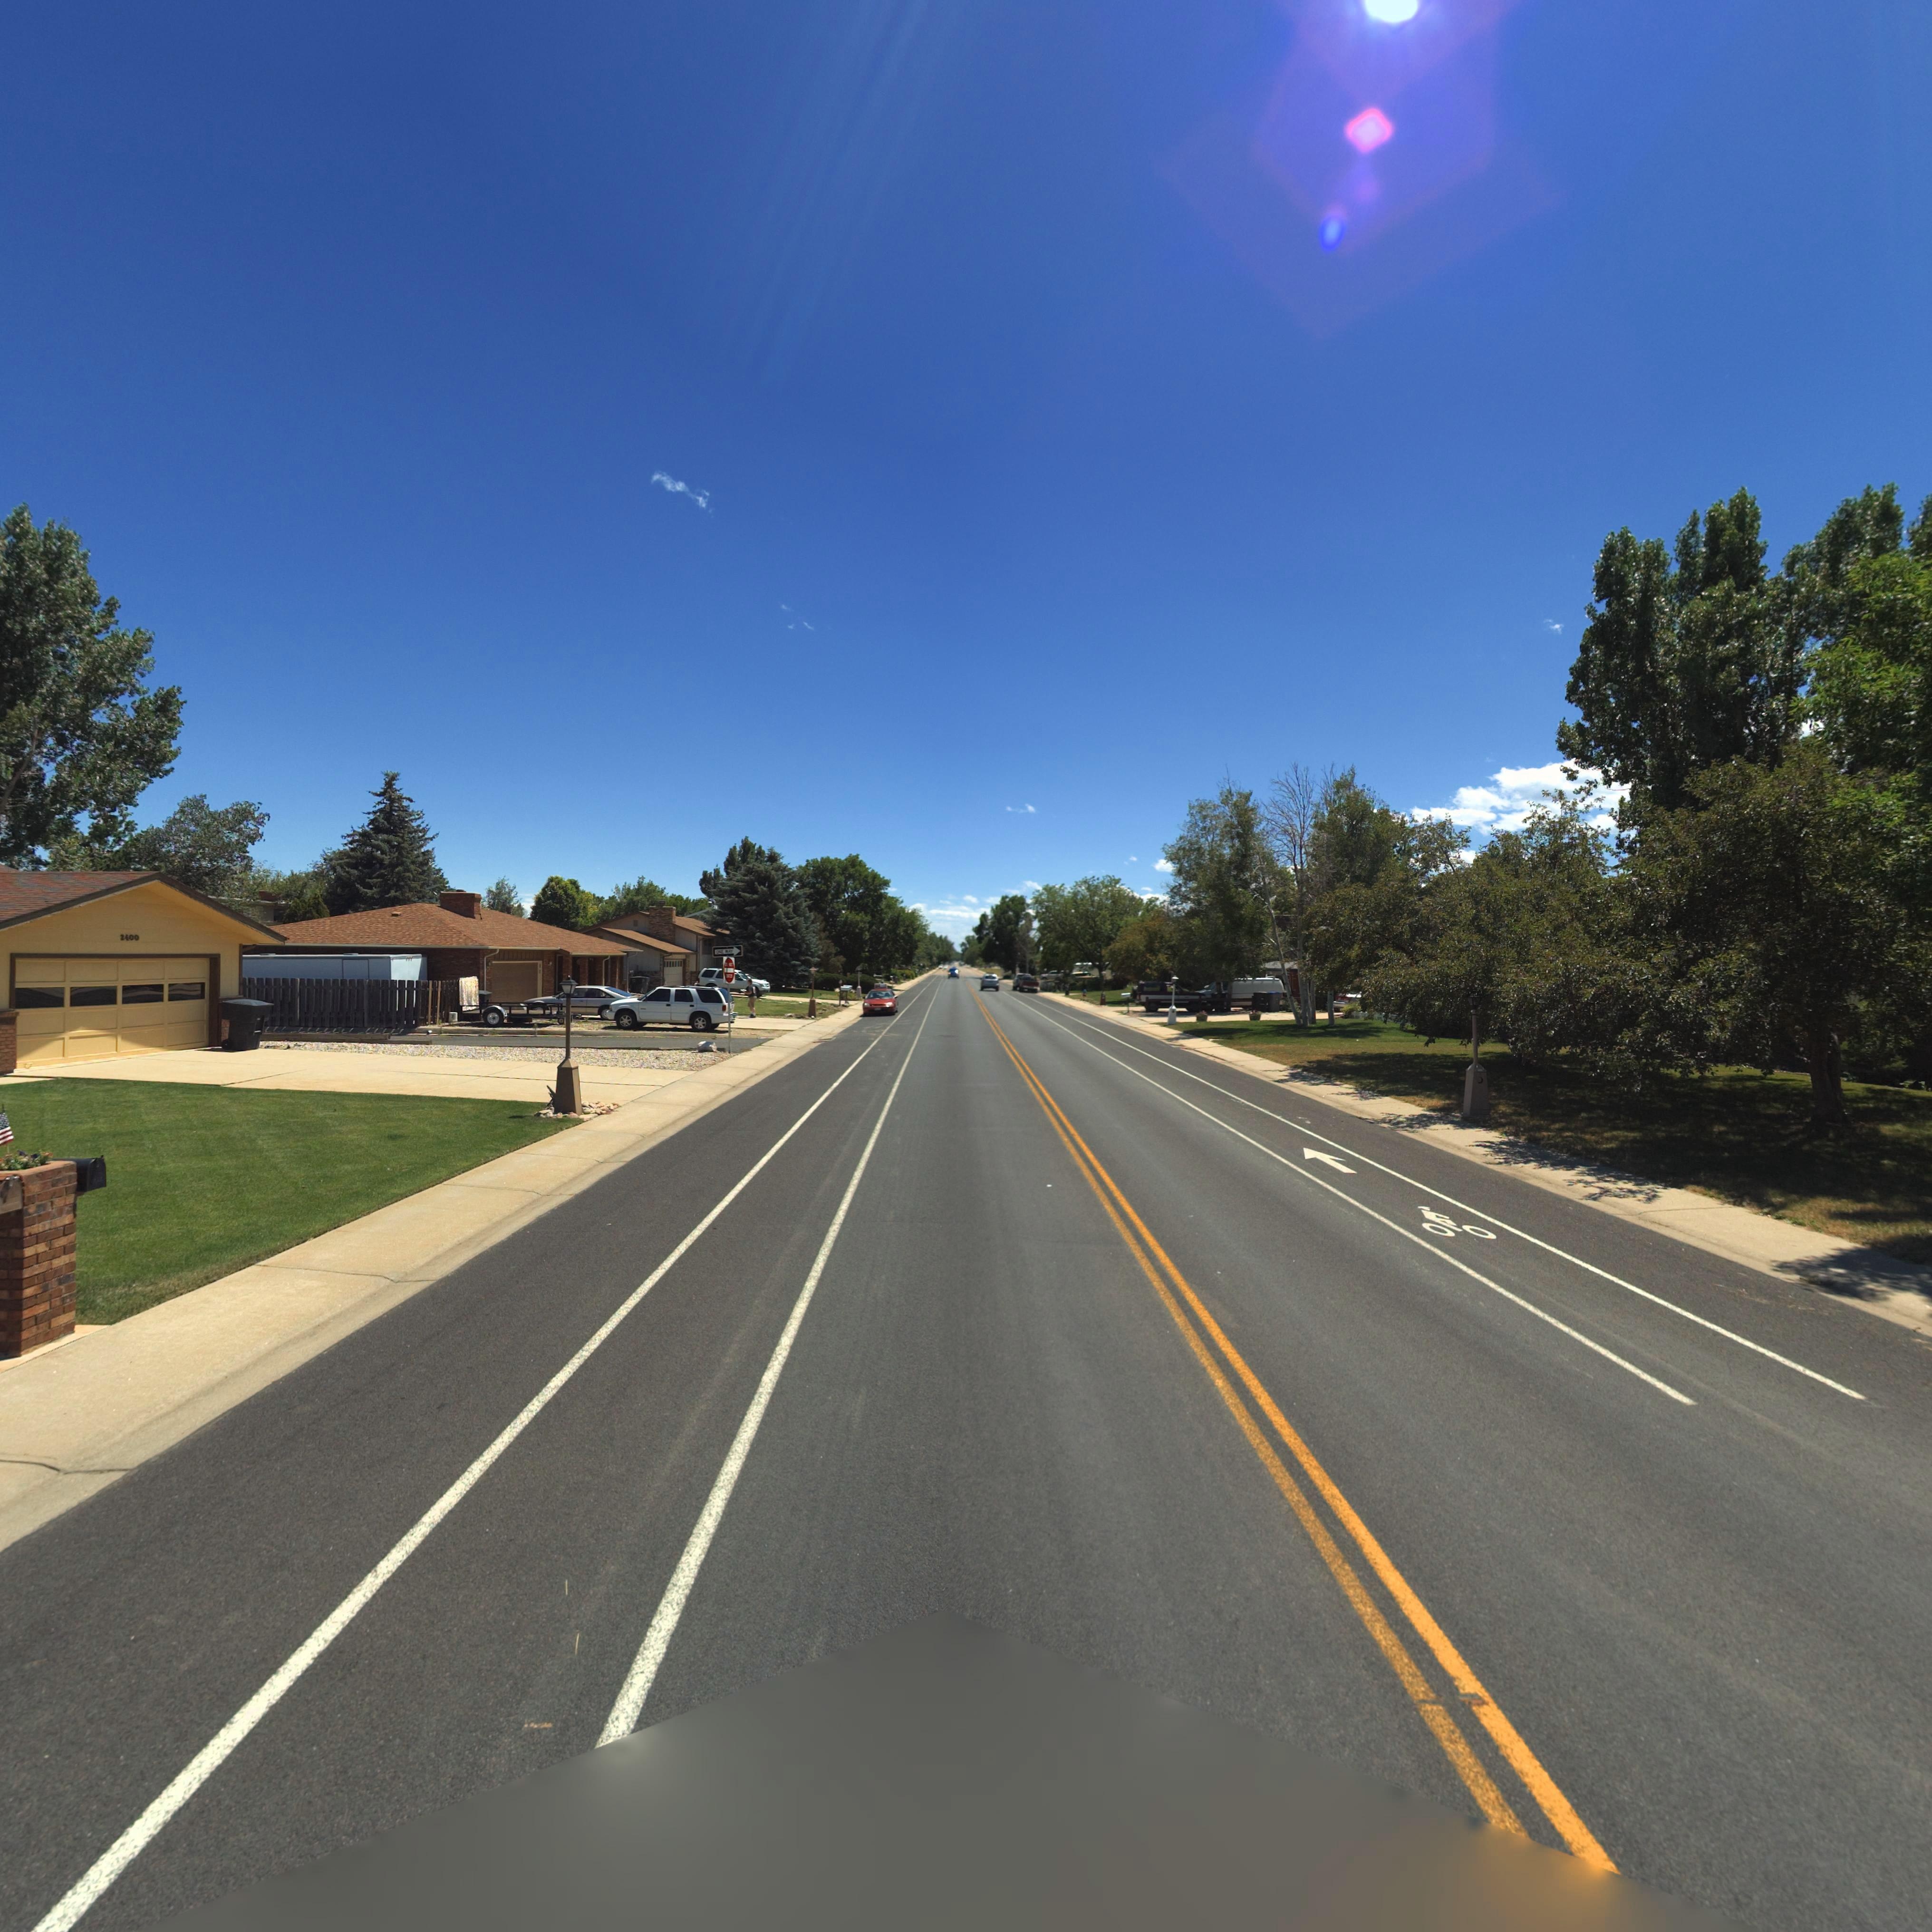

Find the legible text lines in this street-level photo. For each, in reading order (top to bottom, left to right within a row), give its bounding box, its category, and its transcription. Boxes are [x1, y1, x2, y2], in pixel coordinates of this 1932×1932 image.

[120, 933, 139, 941] StreetNumber: 2400